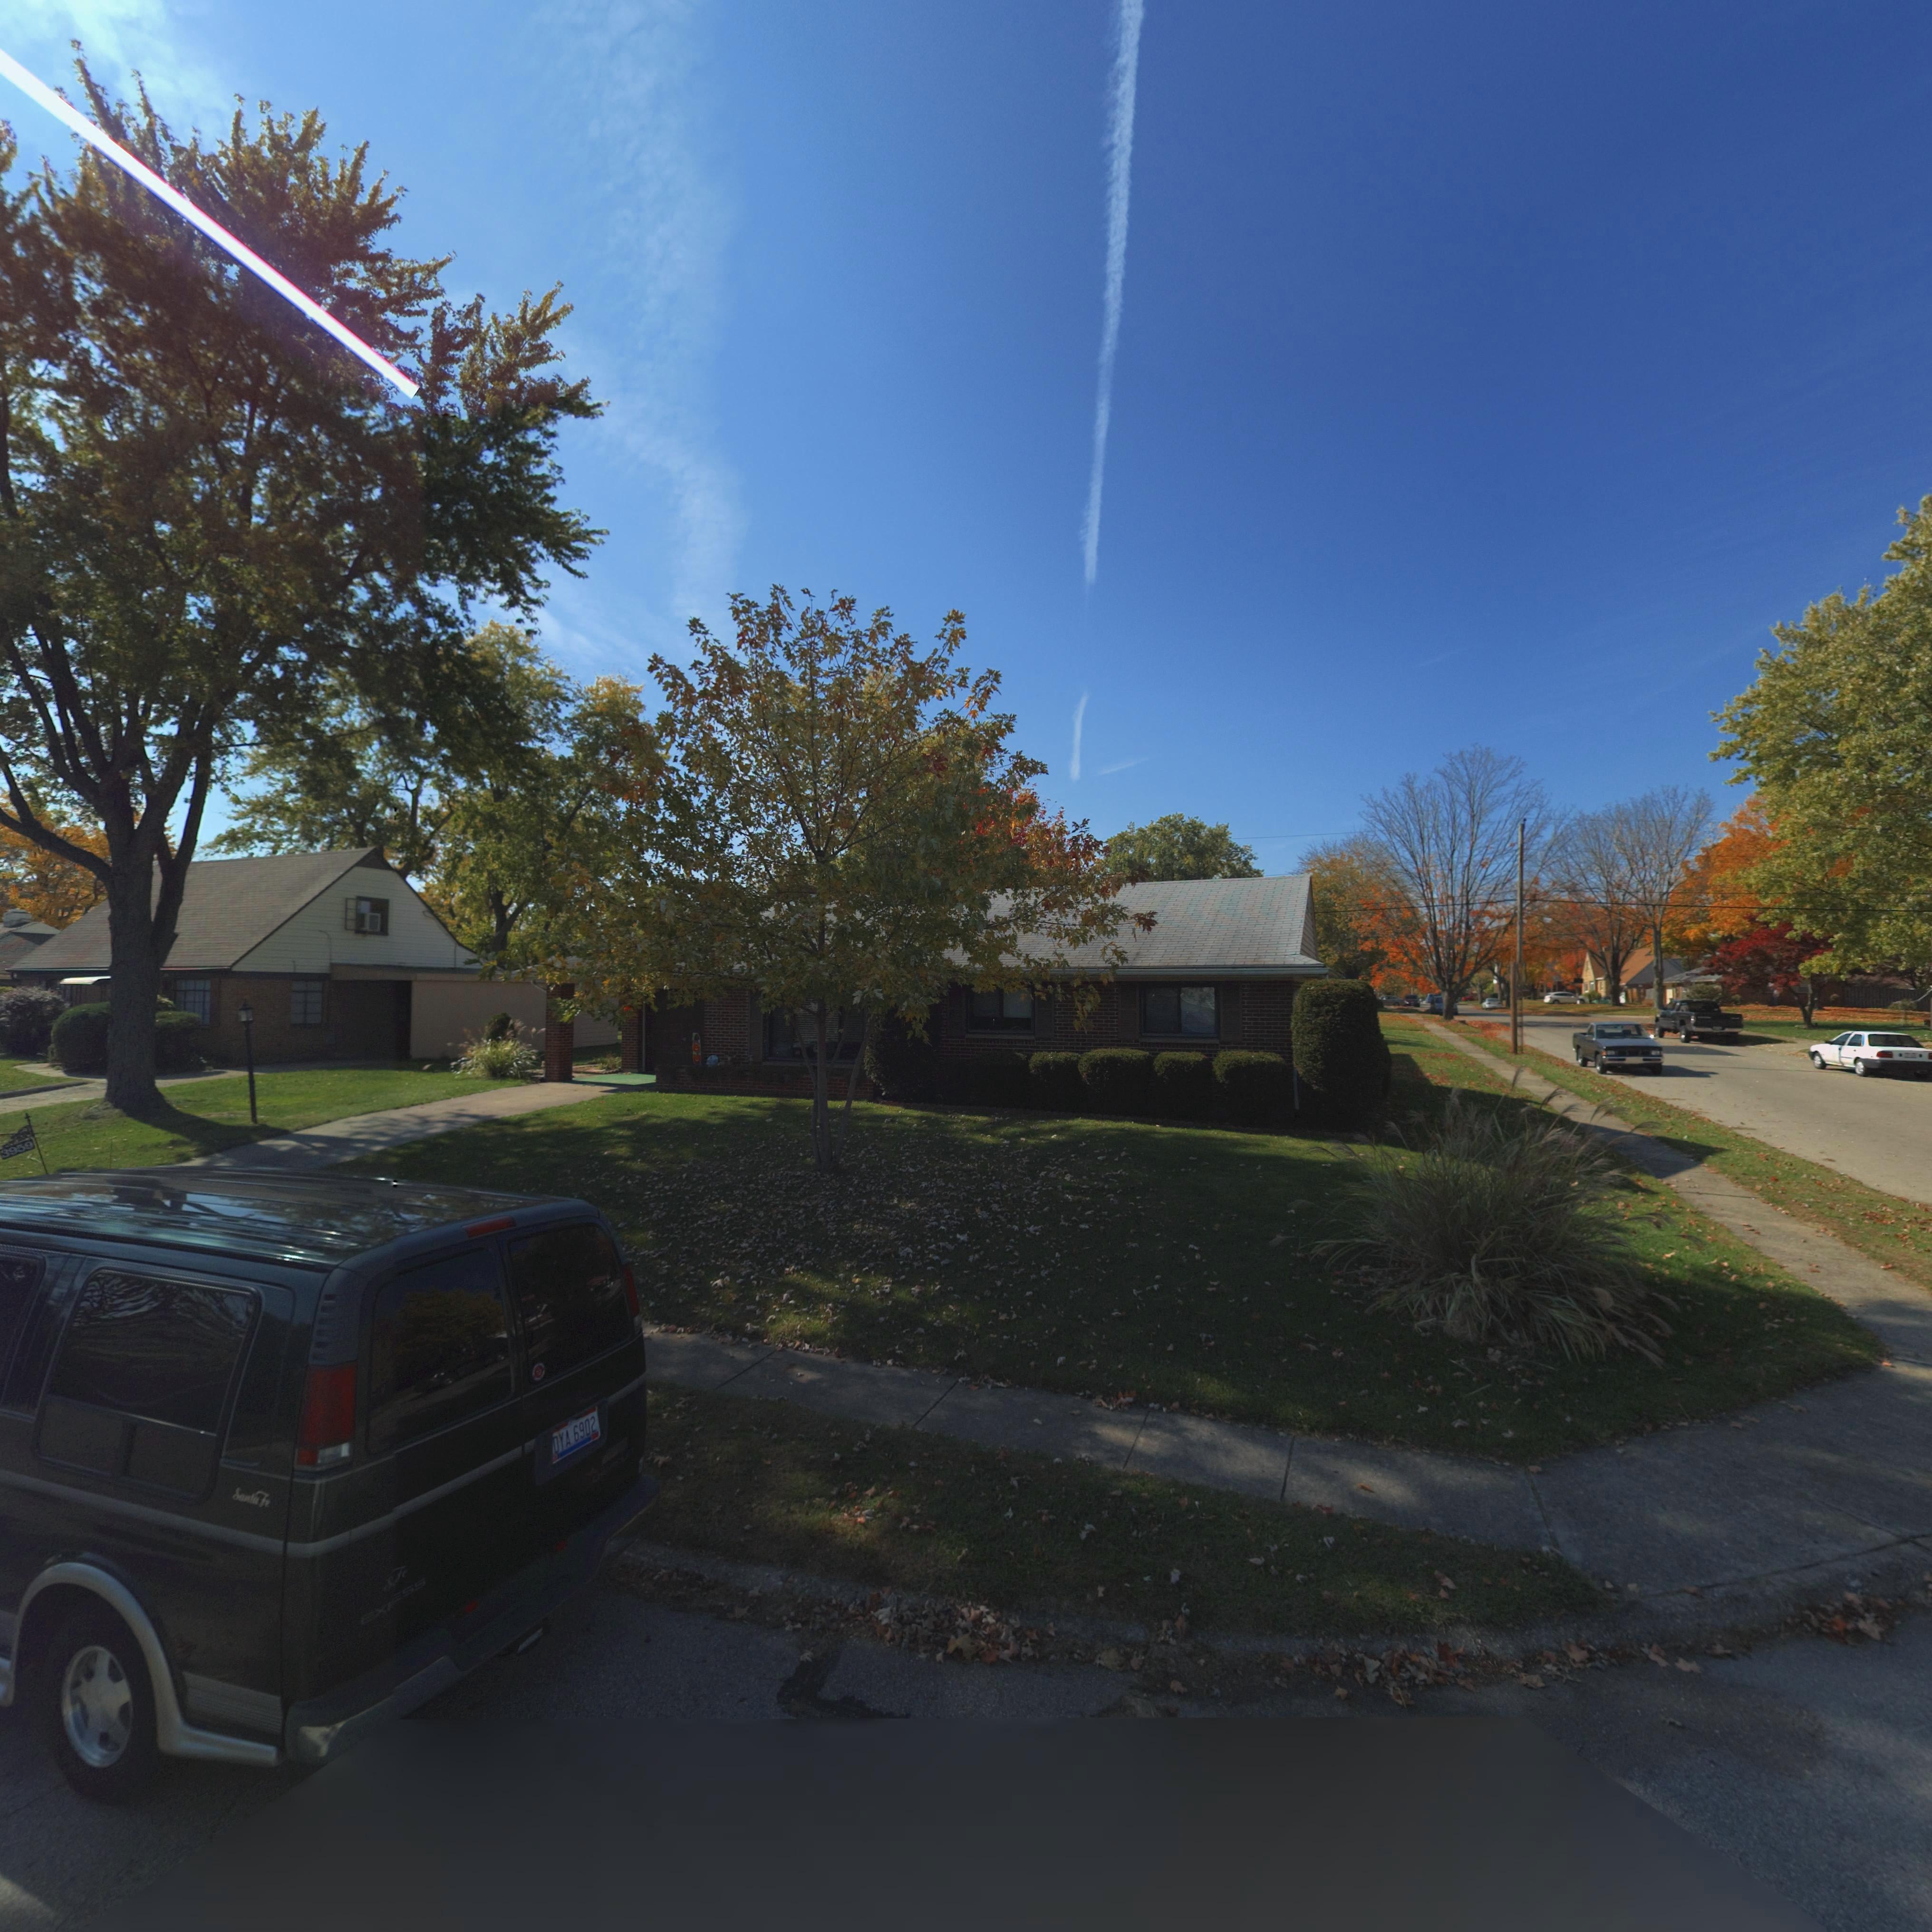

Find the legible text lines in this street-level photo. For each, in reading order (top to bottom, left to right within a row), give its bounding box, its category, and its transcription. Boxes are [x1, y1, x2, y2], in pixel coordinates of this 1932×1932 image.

[0, 1140, 35, 1159] StreetNumber: 3959
[549, 1414, 599, 1457] None: DYA 6902